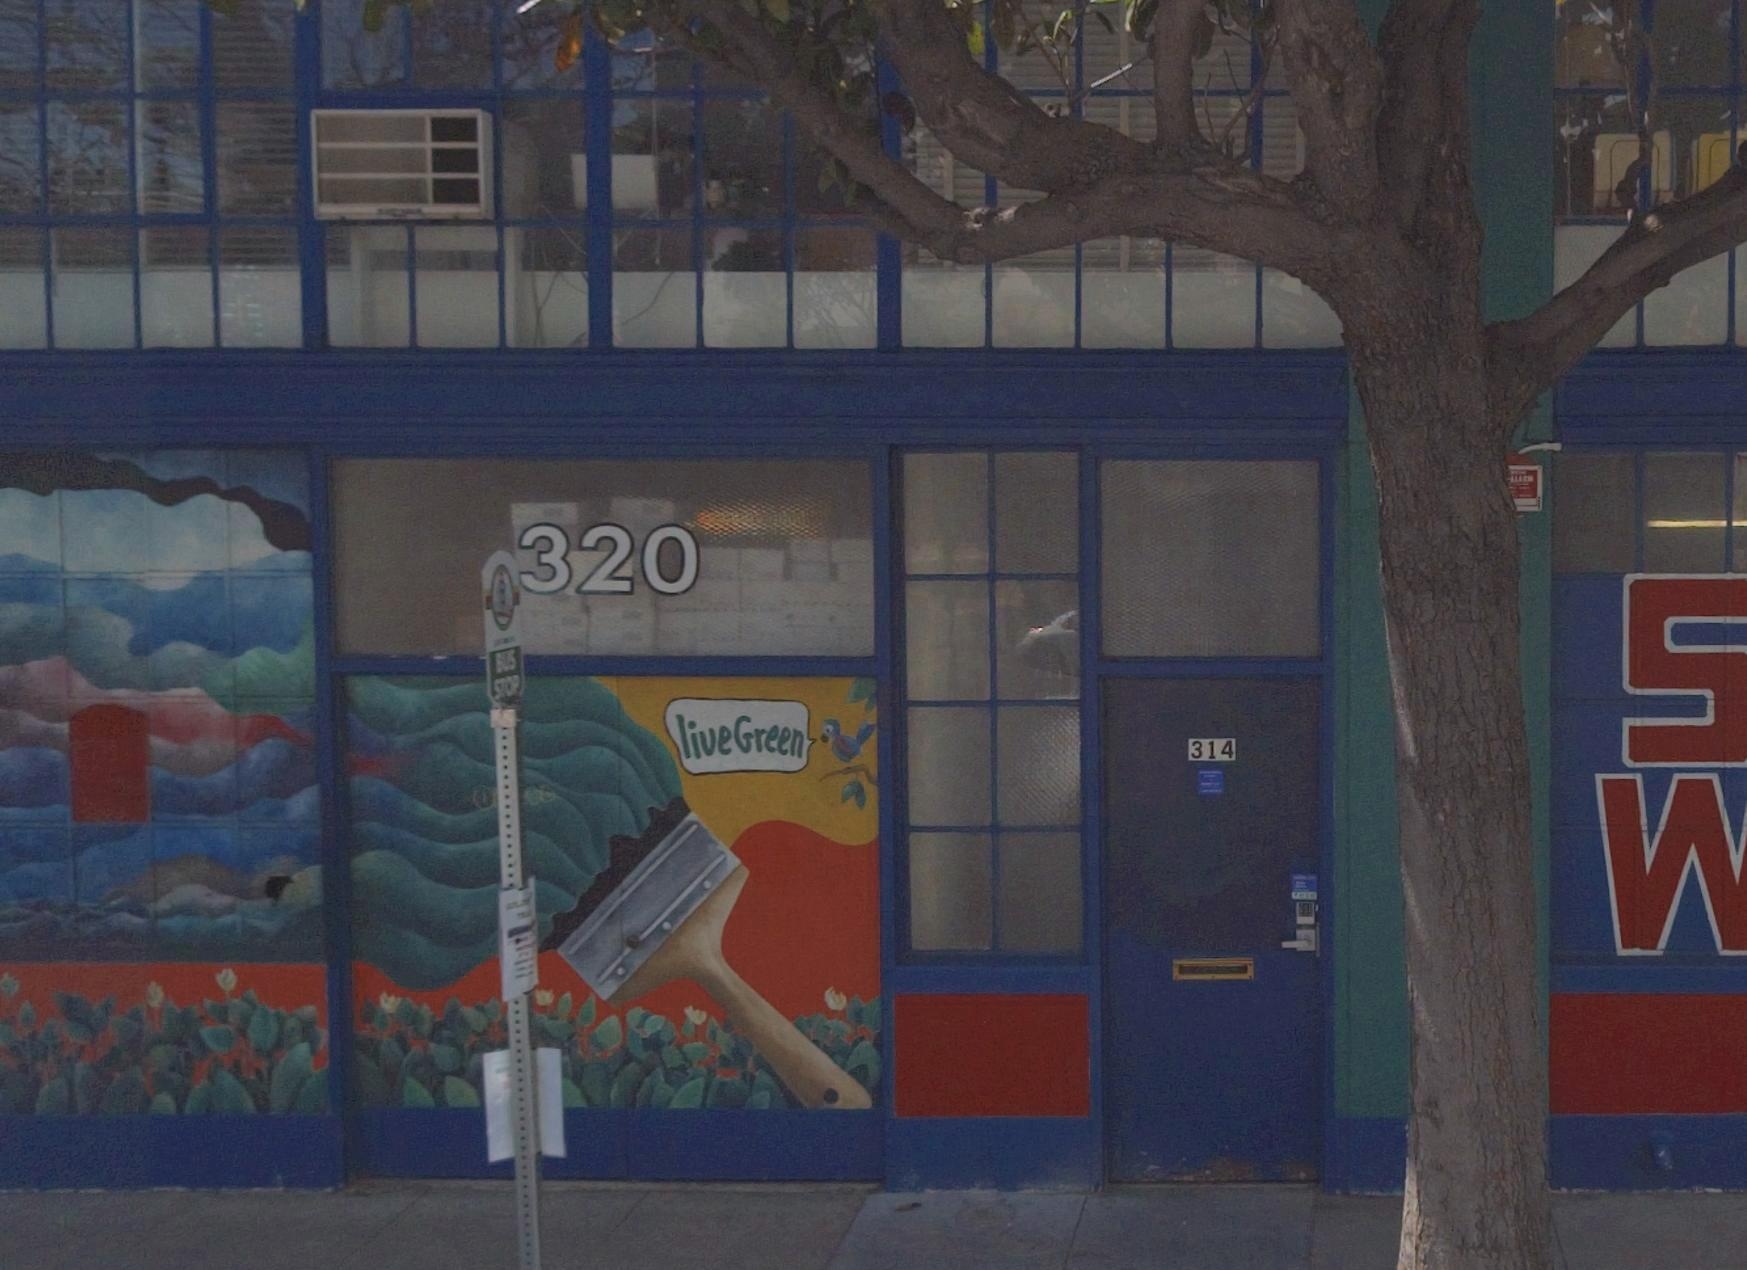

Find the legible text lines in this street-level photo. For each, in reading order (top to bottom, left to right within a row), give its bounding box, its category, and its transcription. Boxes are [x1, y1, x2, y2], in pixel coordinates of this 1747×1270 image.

[517, 523, 701, 596] StreetNumber: 320
[492, 647, 520, 676] None: BUS
[492, 673, 523, 702] None: STOP
[673, 712, 808, 760] None: liveGreen
[1190, 740, 1234, 760] StreetNumber: 314